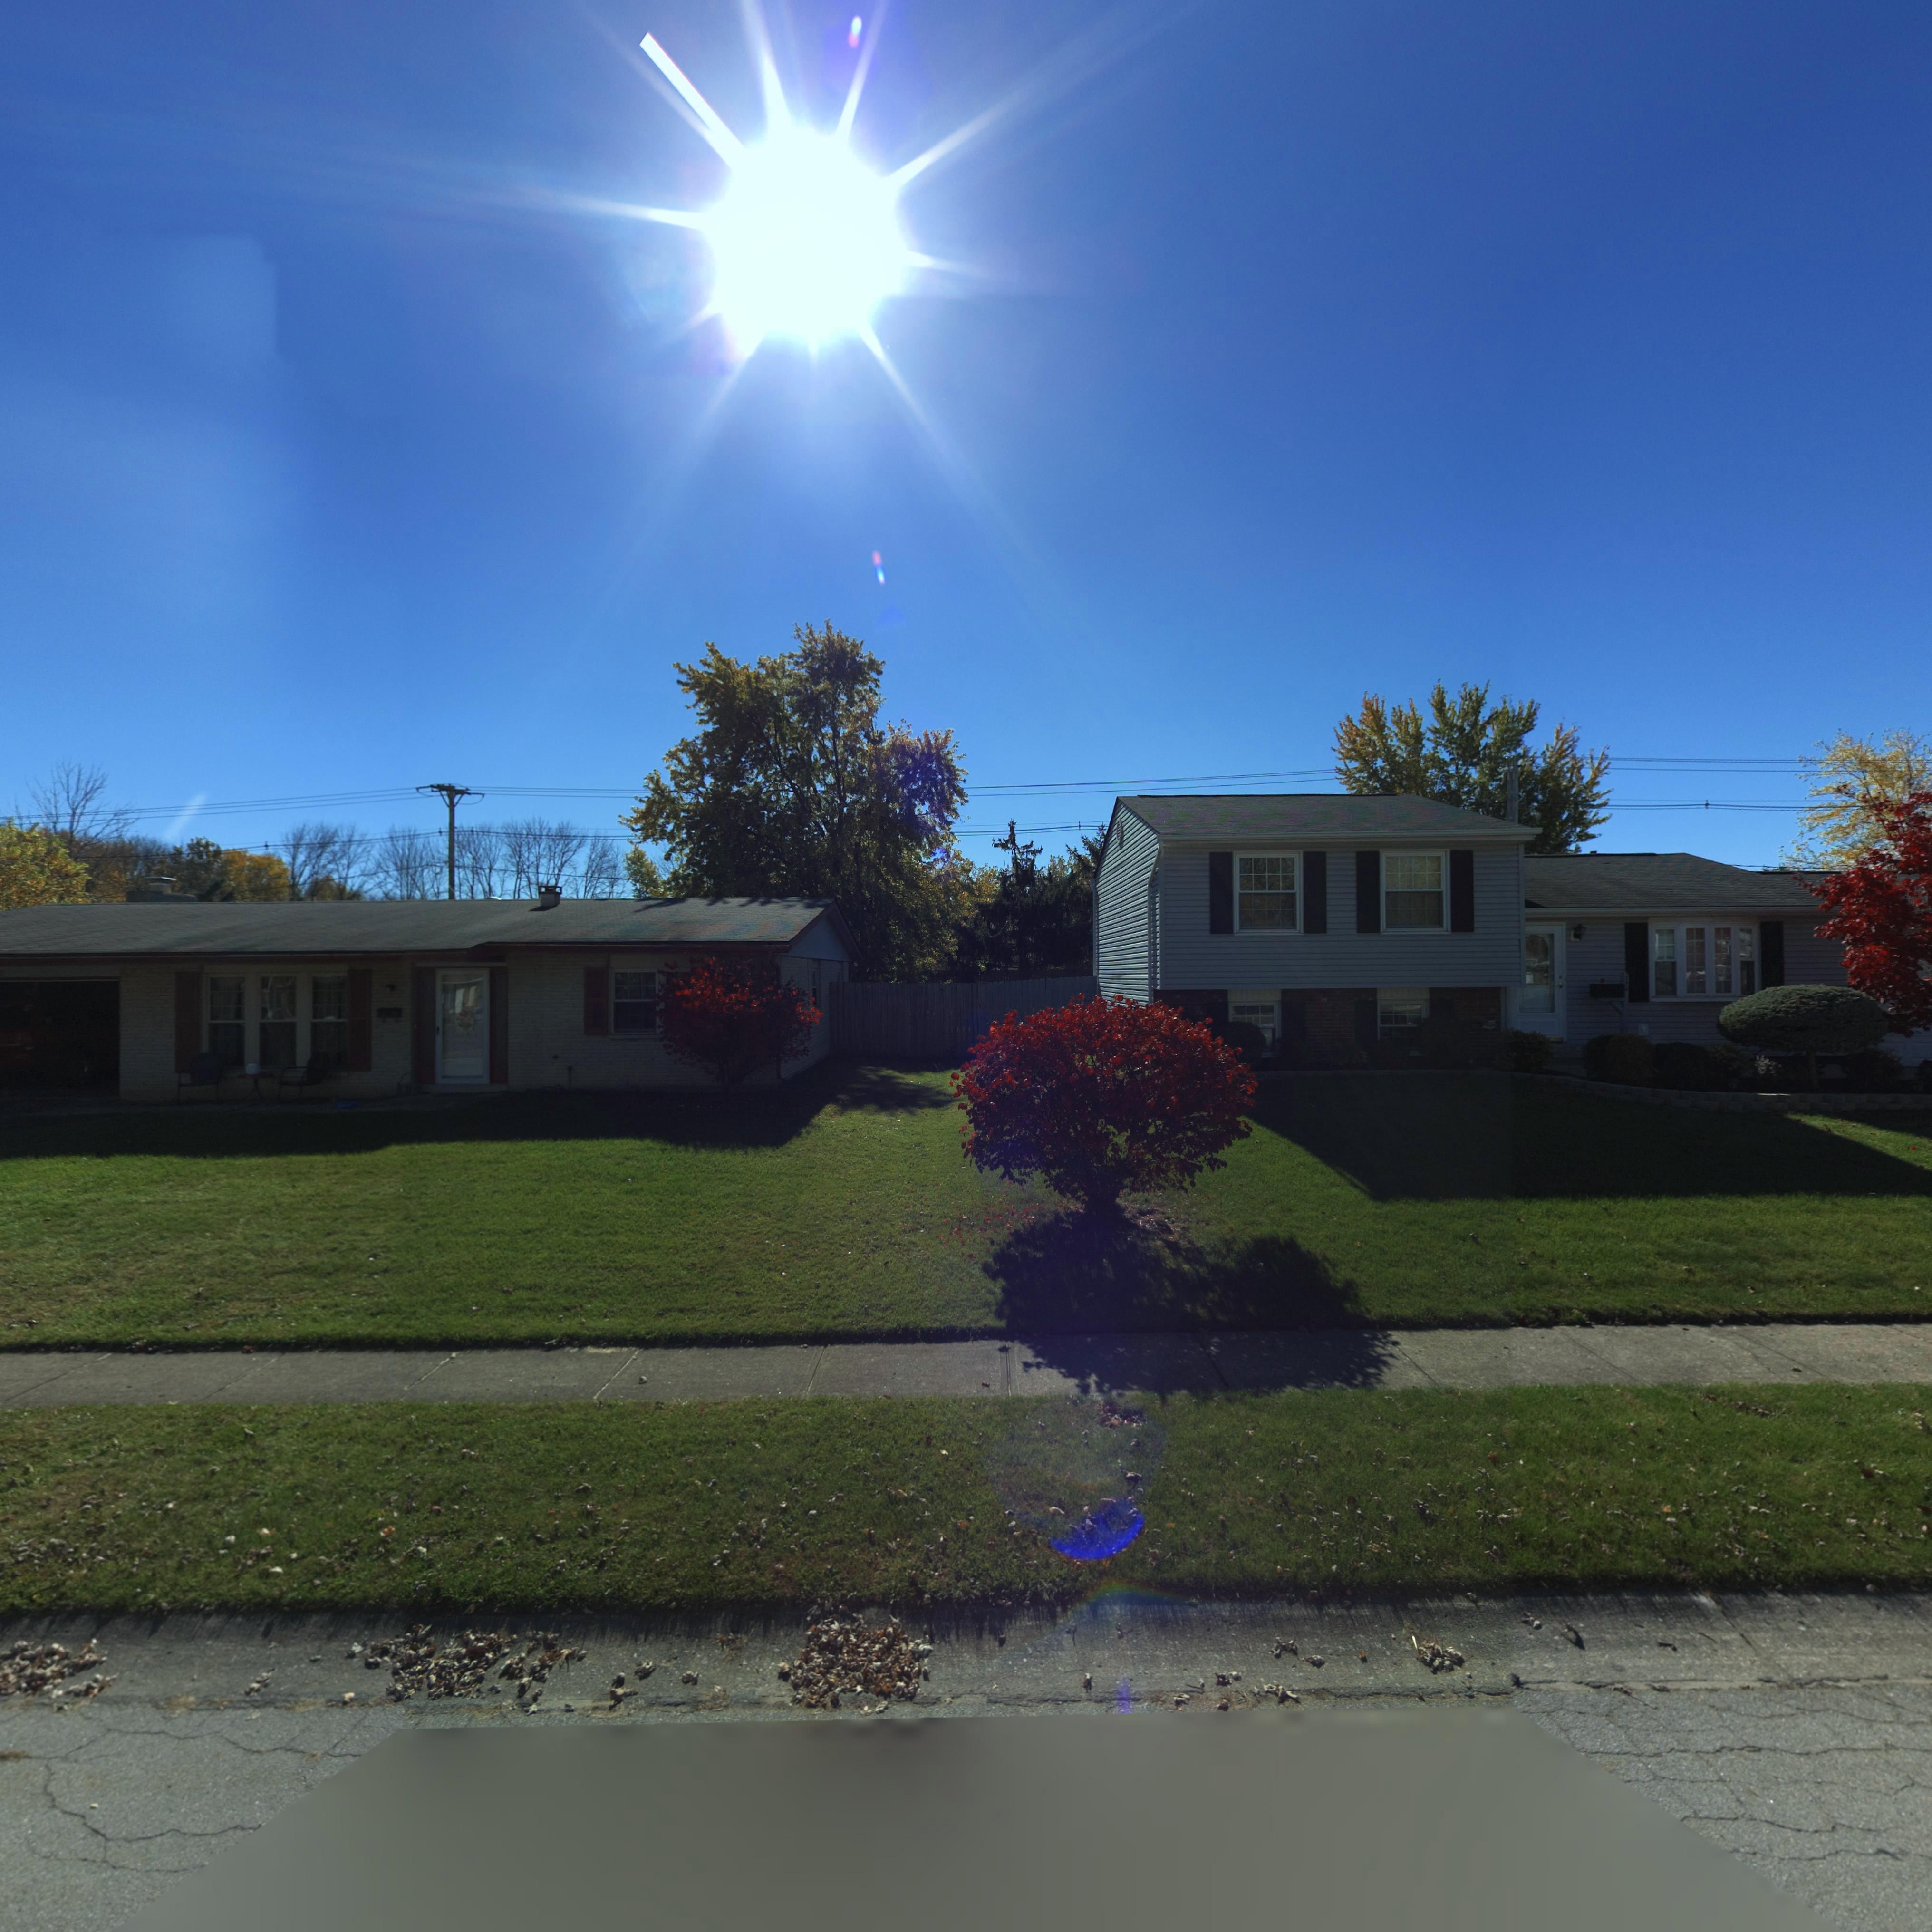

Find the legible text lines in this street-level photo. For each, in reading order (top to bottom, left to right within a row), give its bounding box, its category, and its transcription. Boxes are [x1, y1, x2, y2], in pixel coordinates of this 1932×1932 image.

[1624, 975, 1629, 991] StreetNumber: 2**